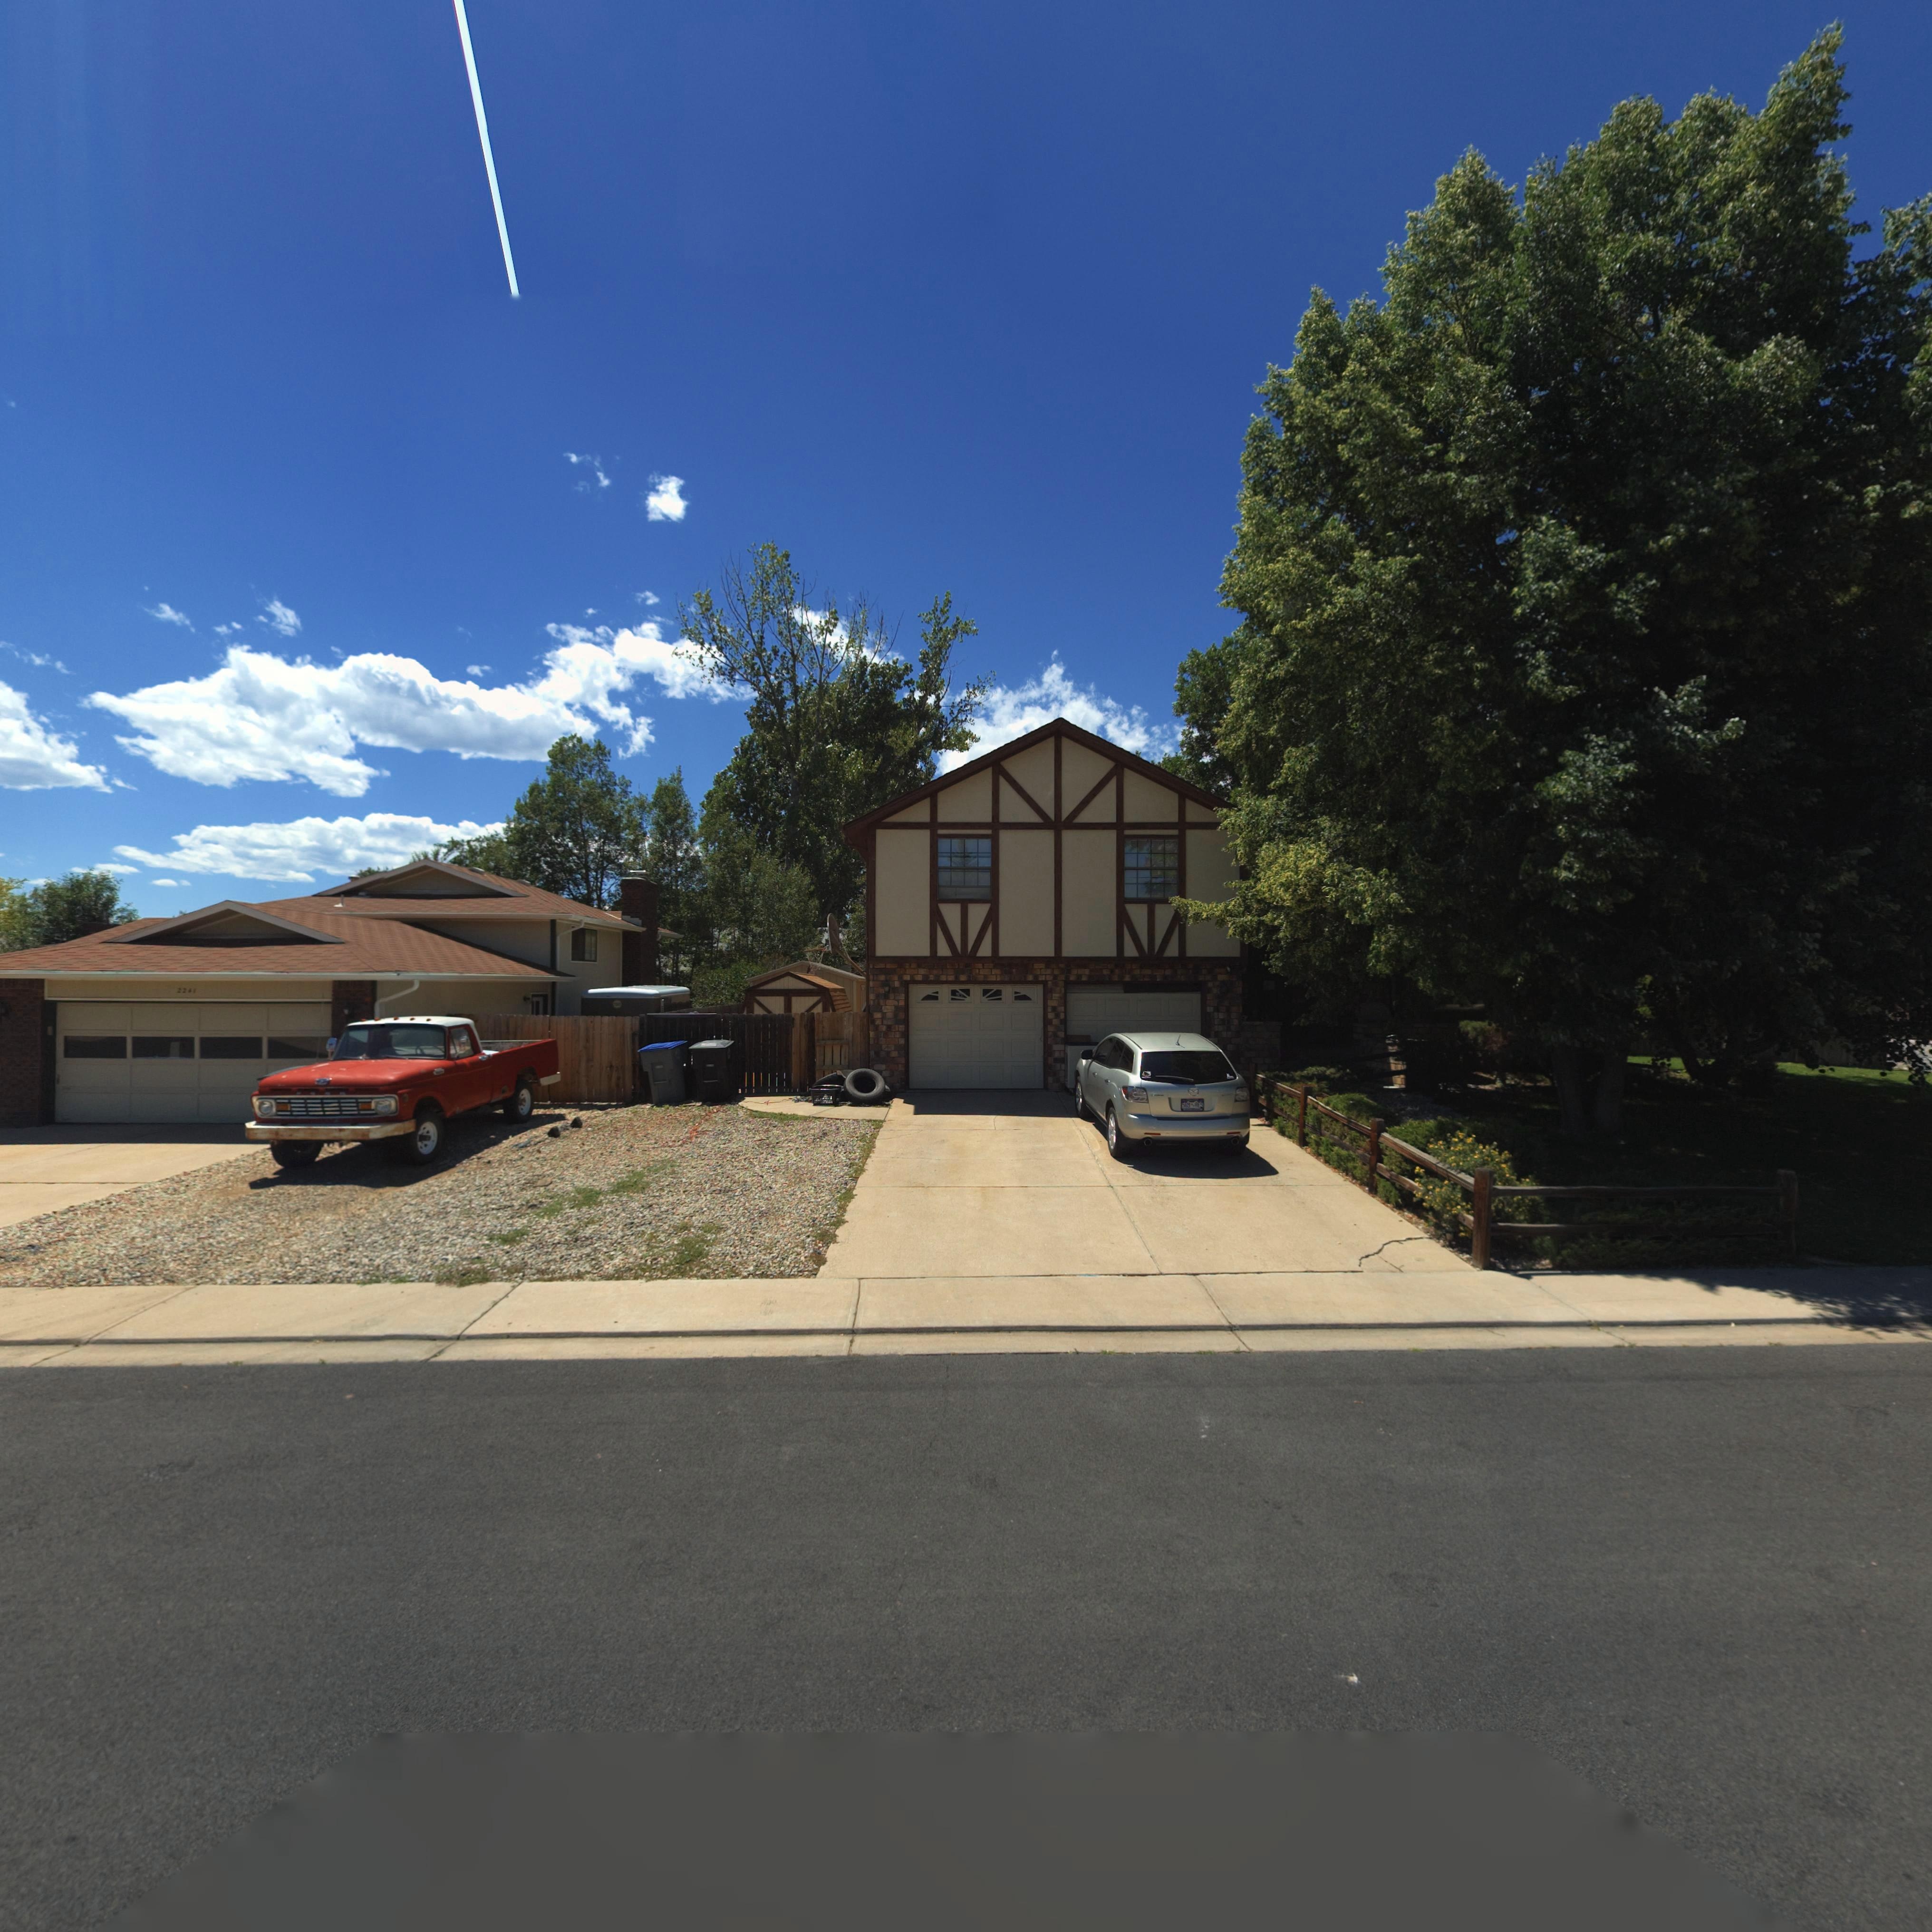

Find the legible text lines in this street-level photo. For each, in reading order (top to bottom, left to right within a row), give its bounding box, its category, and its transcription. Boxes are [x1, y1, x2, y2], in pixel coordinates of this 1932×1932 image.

[176, 986, 198, 994] StreetNumber: 2241